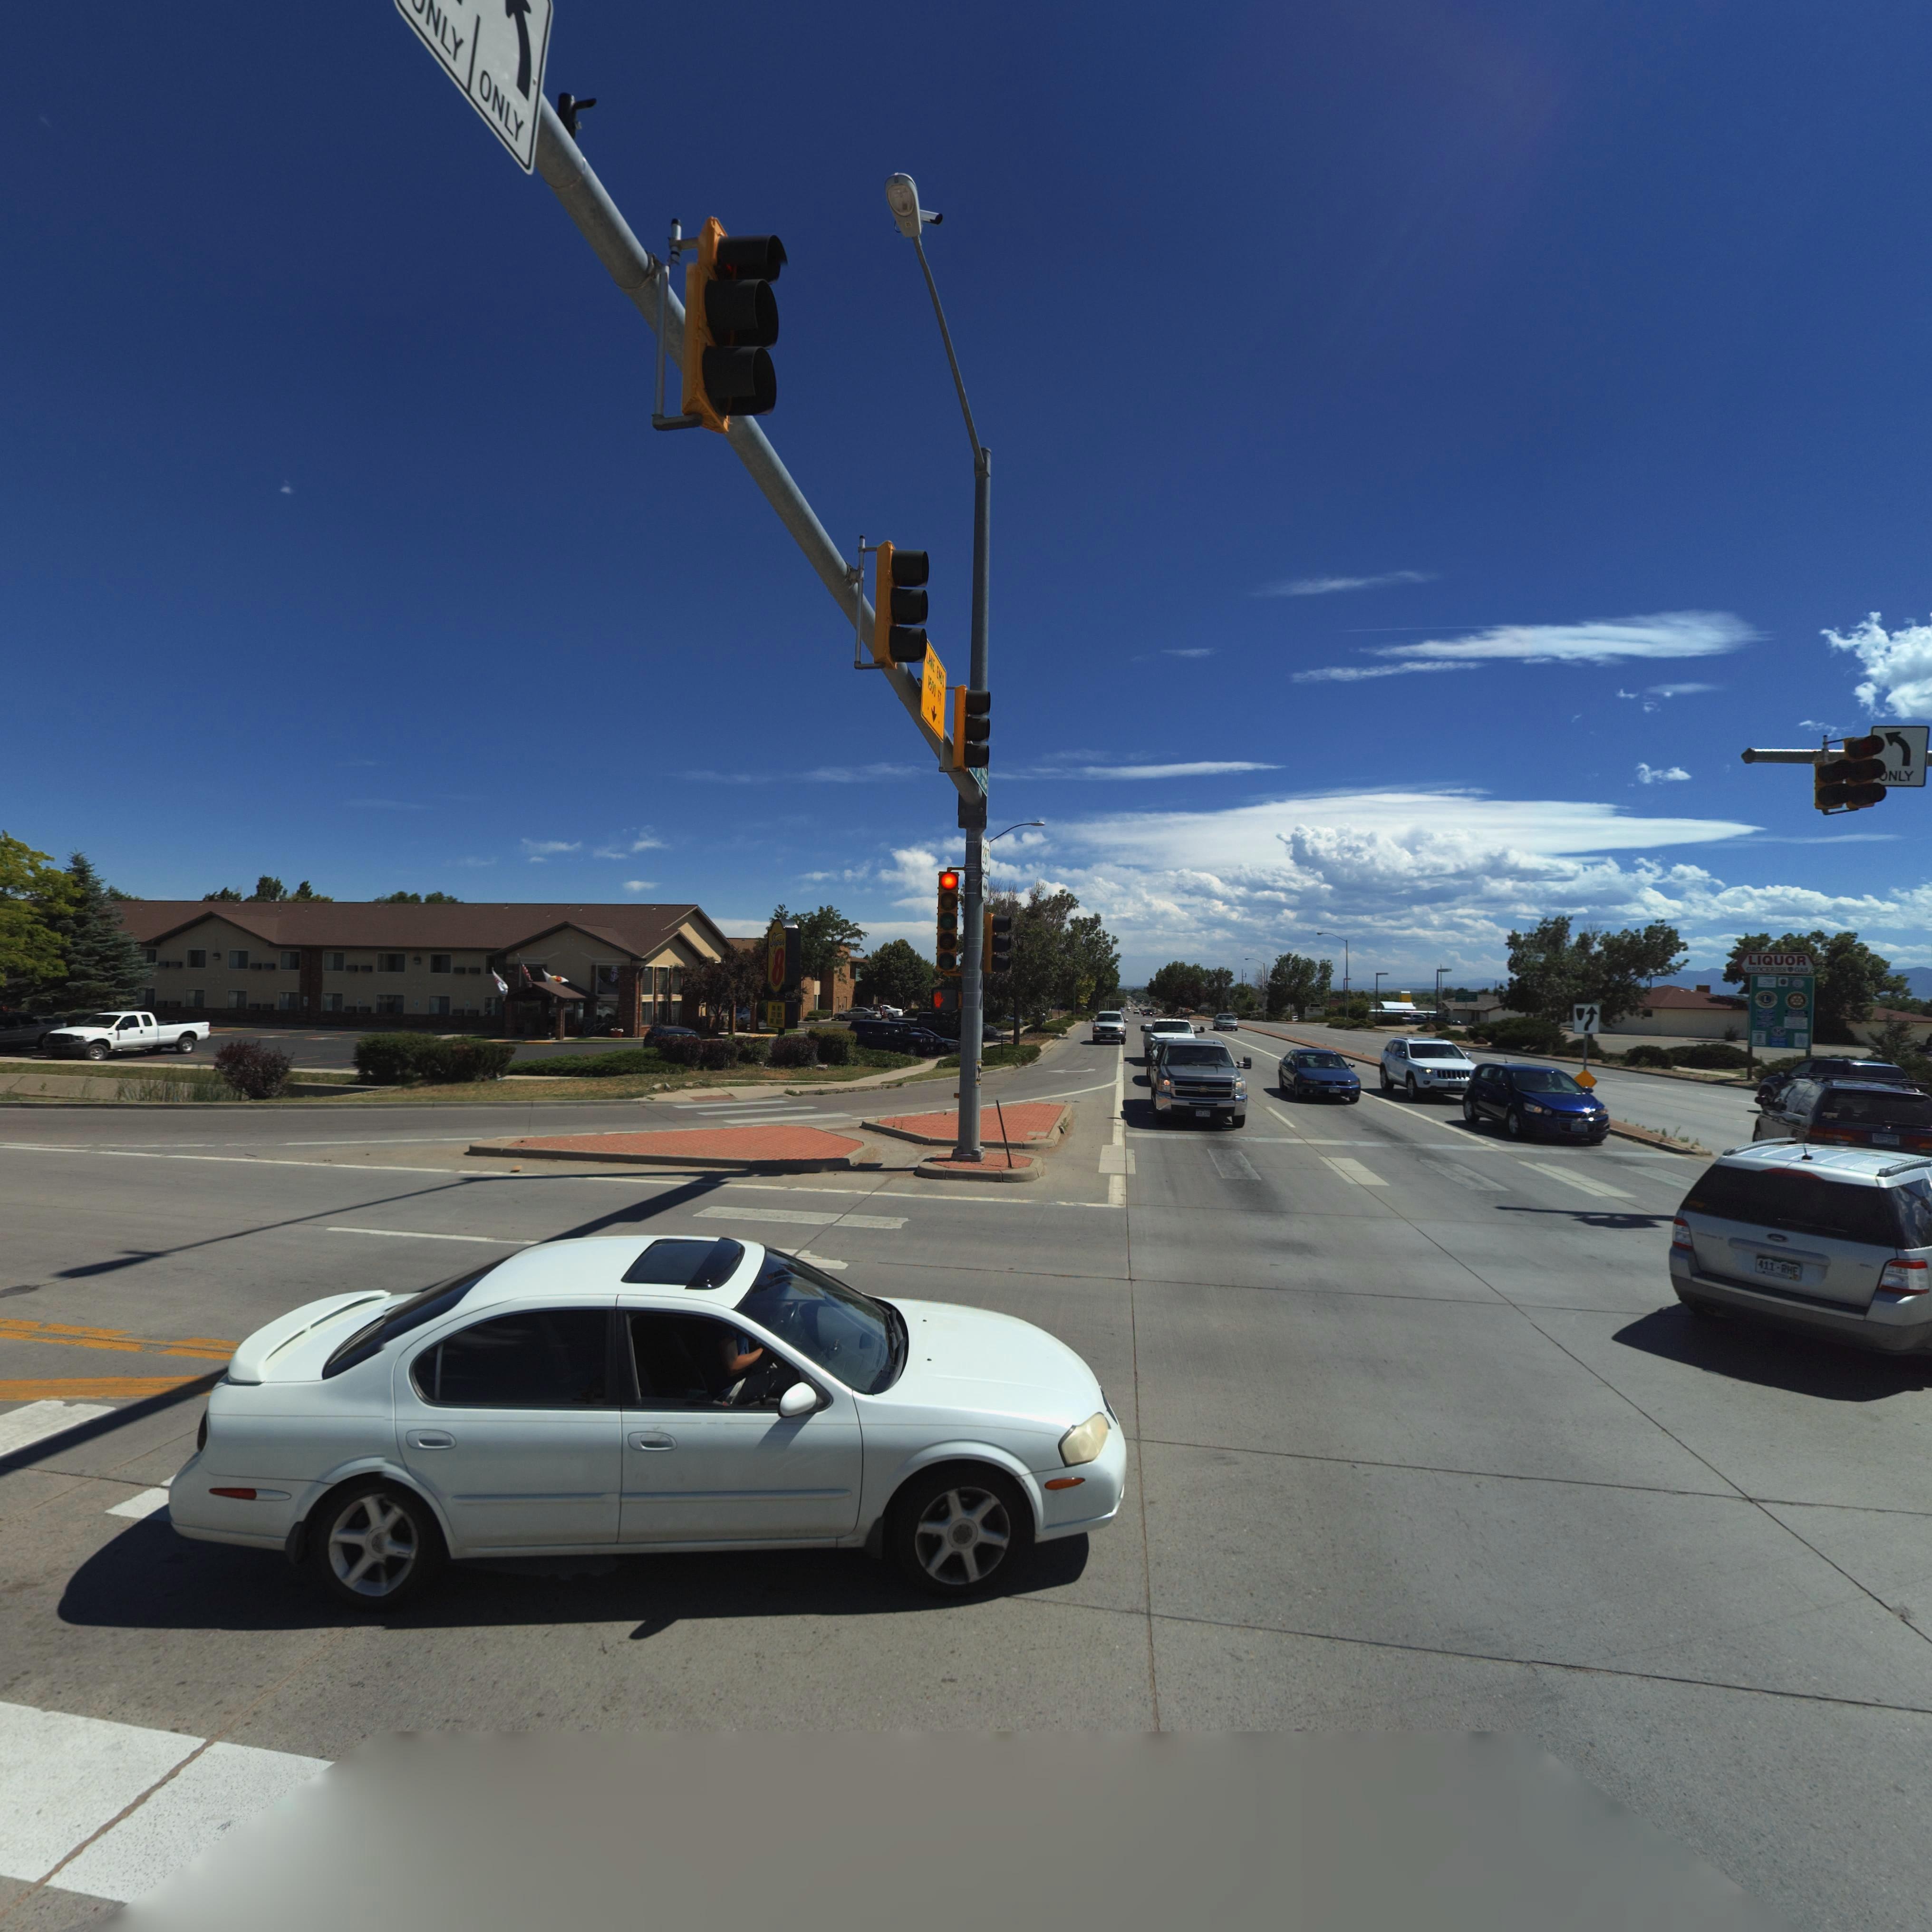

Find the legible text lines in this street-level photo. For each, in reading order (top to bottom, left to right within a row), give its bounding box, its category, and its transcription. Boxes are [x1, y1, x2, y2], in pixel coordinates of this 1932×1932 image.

[769, 932, 785, 955] BusinessName: Super
[770, 947, 784, 986] BusinessName: 8